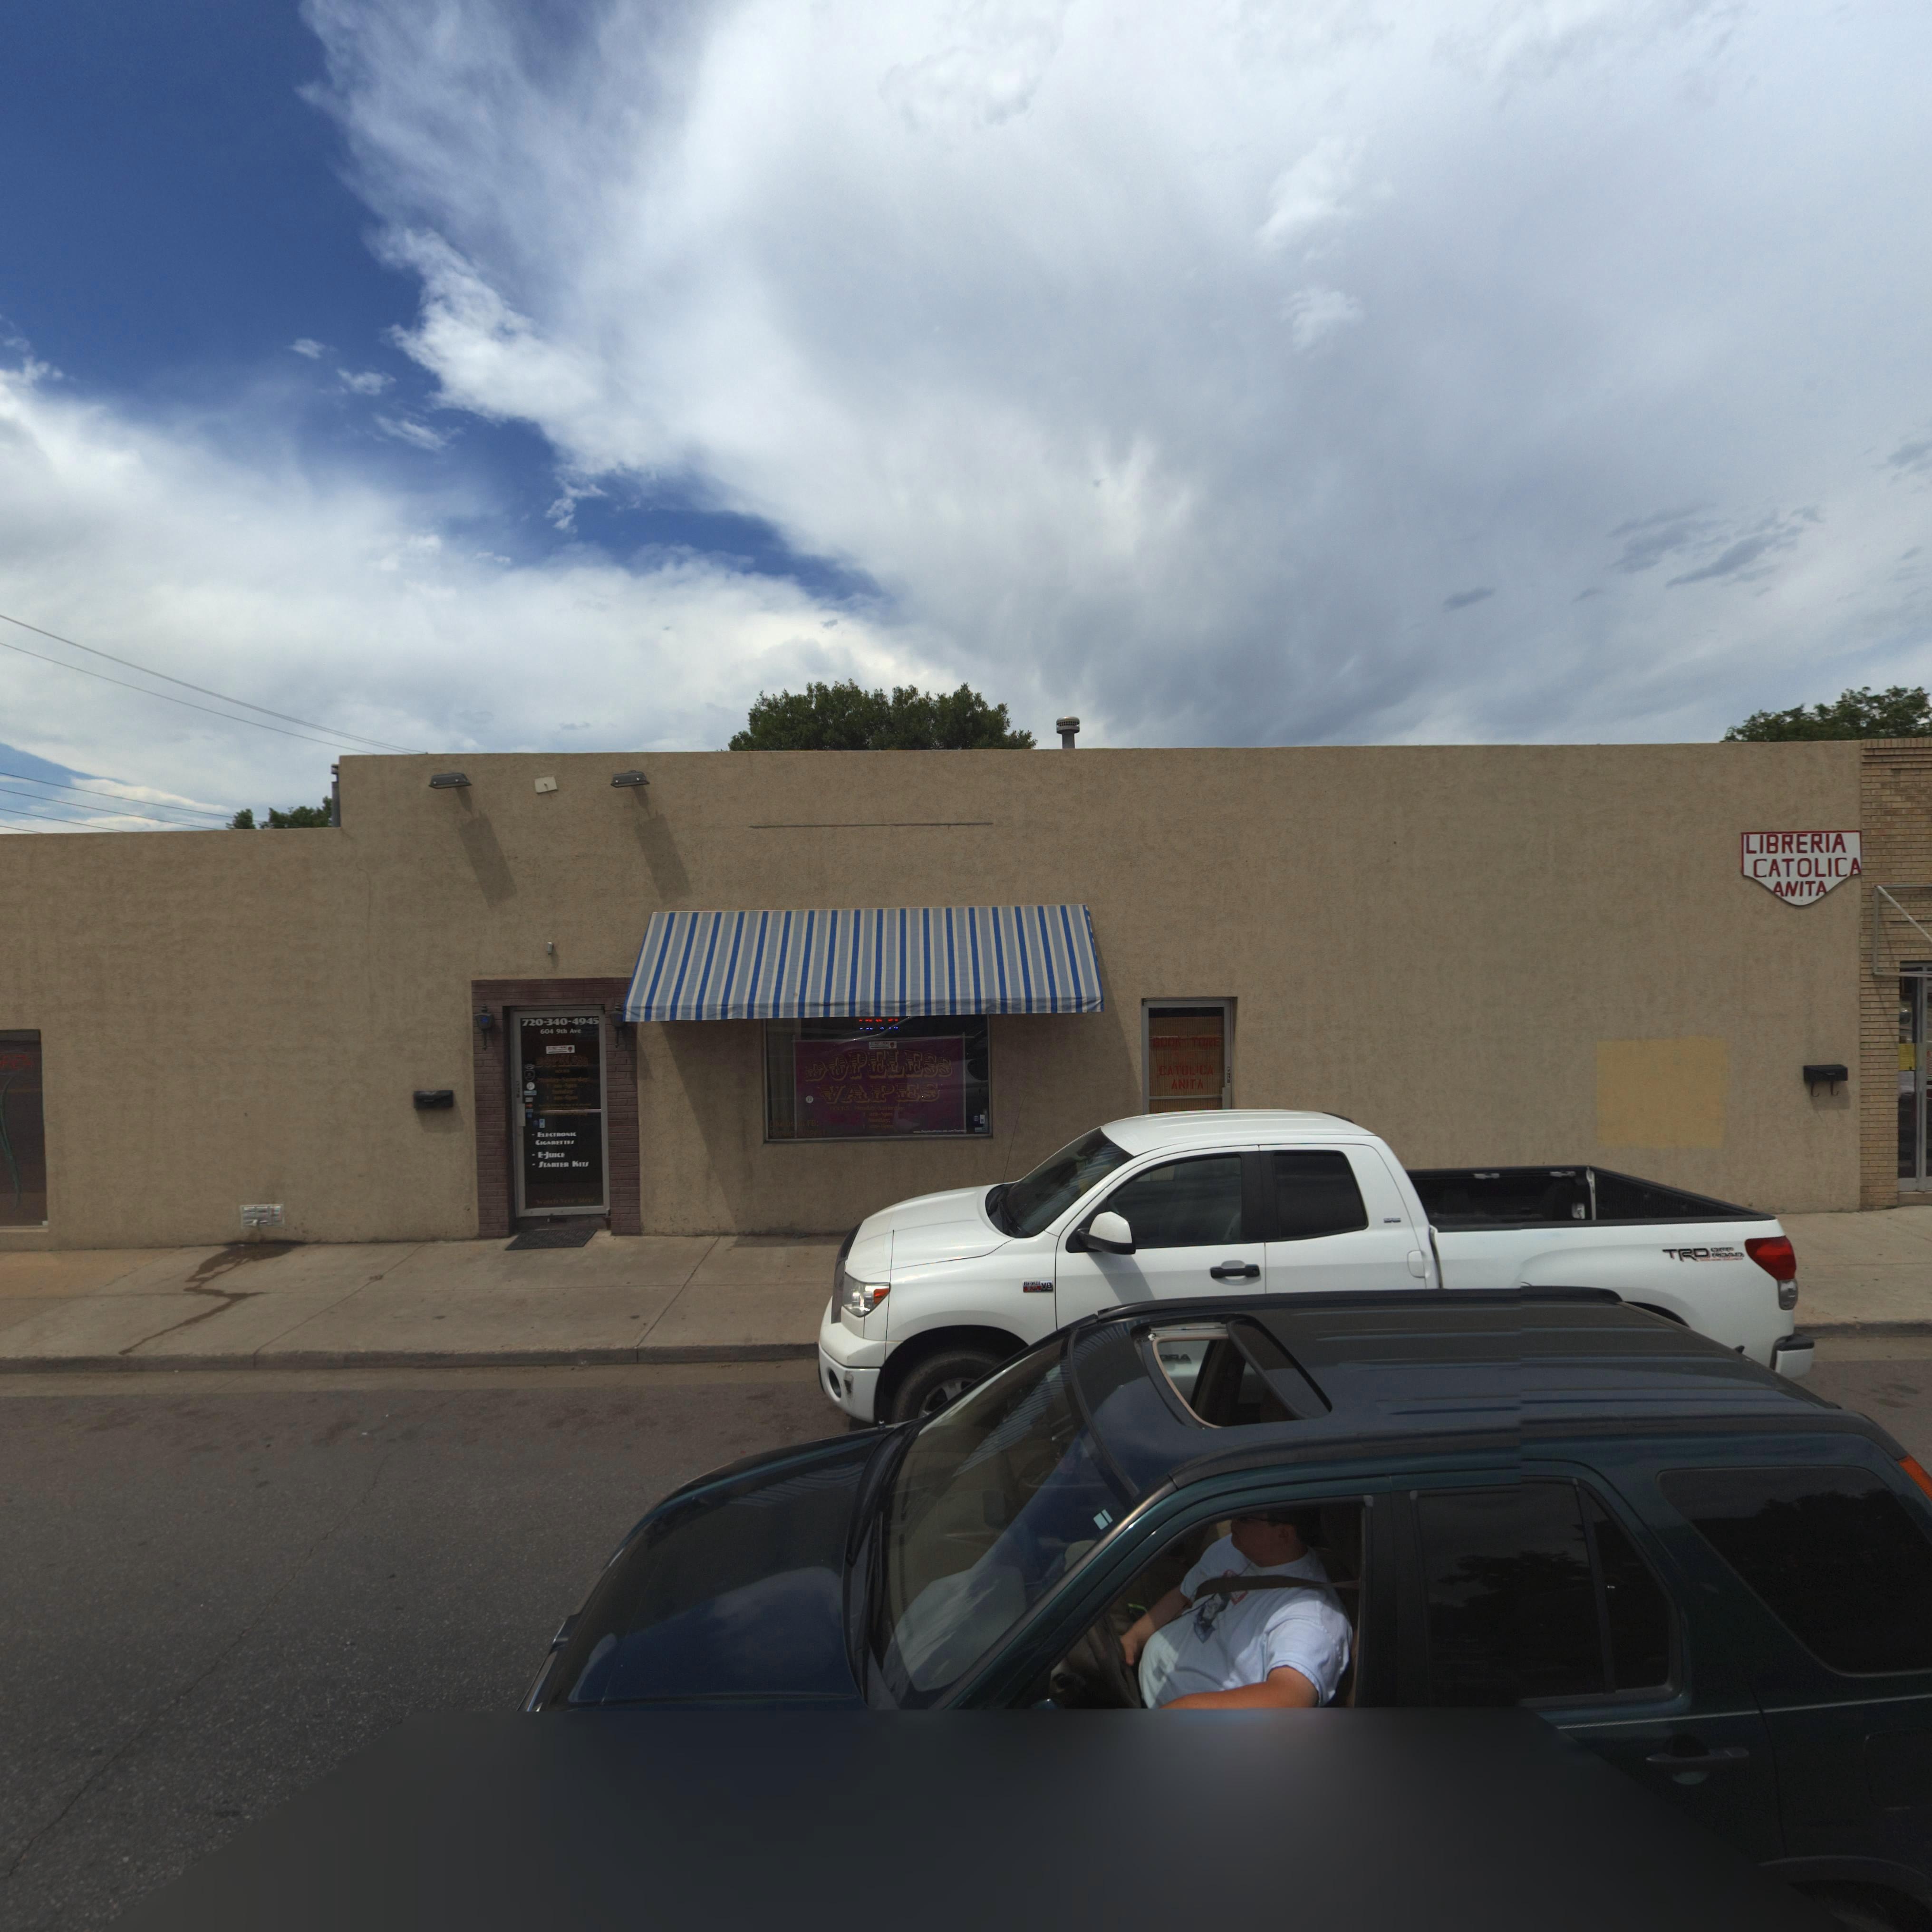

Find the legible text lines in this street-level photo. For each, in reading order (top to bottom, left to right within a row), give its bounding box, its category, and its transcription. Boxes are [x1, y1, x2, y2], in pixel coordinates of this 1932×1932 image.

[1745, 832, 1846, 854] BusinessName: LIBRERIA
[1753, 856, 1861, 877] BusinessName: CATOLICA
[1771, 879, 1827, 897] BusinessName: ANITA
[540, 1028, 553, 1034] StreetNumber: 604
[556, 1027, 581, 1034] StreetName: 9th Ave
[1152, 1035, 1220, 1048] BusinessName: BOOK STORE
[536, 1053, 589, 1068] BusinessName: DOPELESS
[803, 1049, 952, 1081] BusinessName: DOPELESS
[1158, 1064, 1215, 1076] BusinessName: CATOLICA
[1169, 1078, 1205, 1090] BusinessName: ANITA
[815, 1082, 939, 1104] BusinessName: VAPES